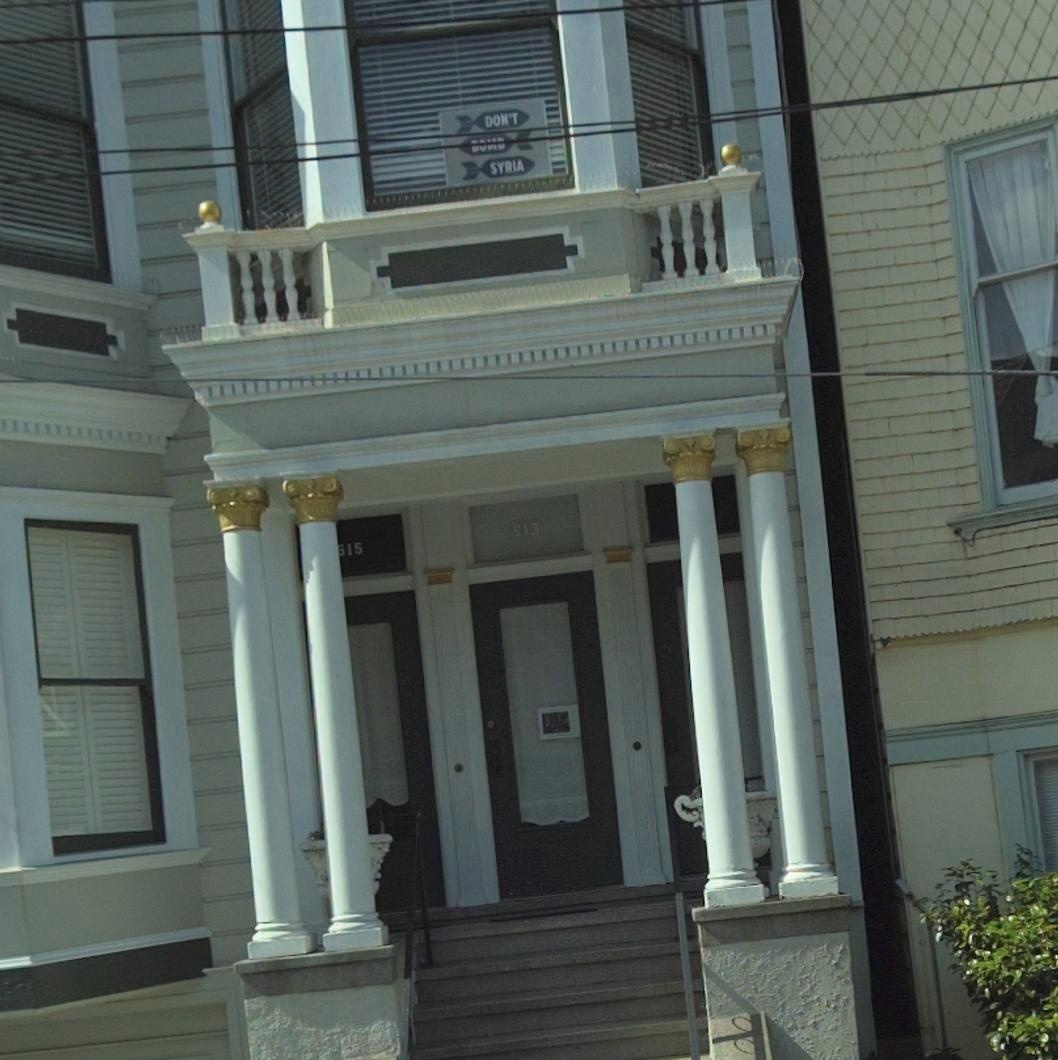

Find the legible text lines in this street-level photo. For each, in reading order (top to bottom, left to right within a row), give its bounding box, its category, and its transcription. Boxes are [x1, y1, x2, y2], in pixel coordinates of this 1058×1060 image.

[481, 111, 521, 131] None: DON'T
[487, 156, 529, 178] None: SYRIA
[509, 520, 542, 542] StreetNumber: 513
[335, 539, 366, 559] StreetNumber: *15